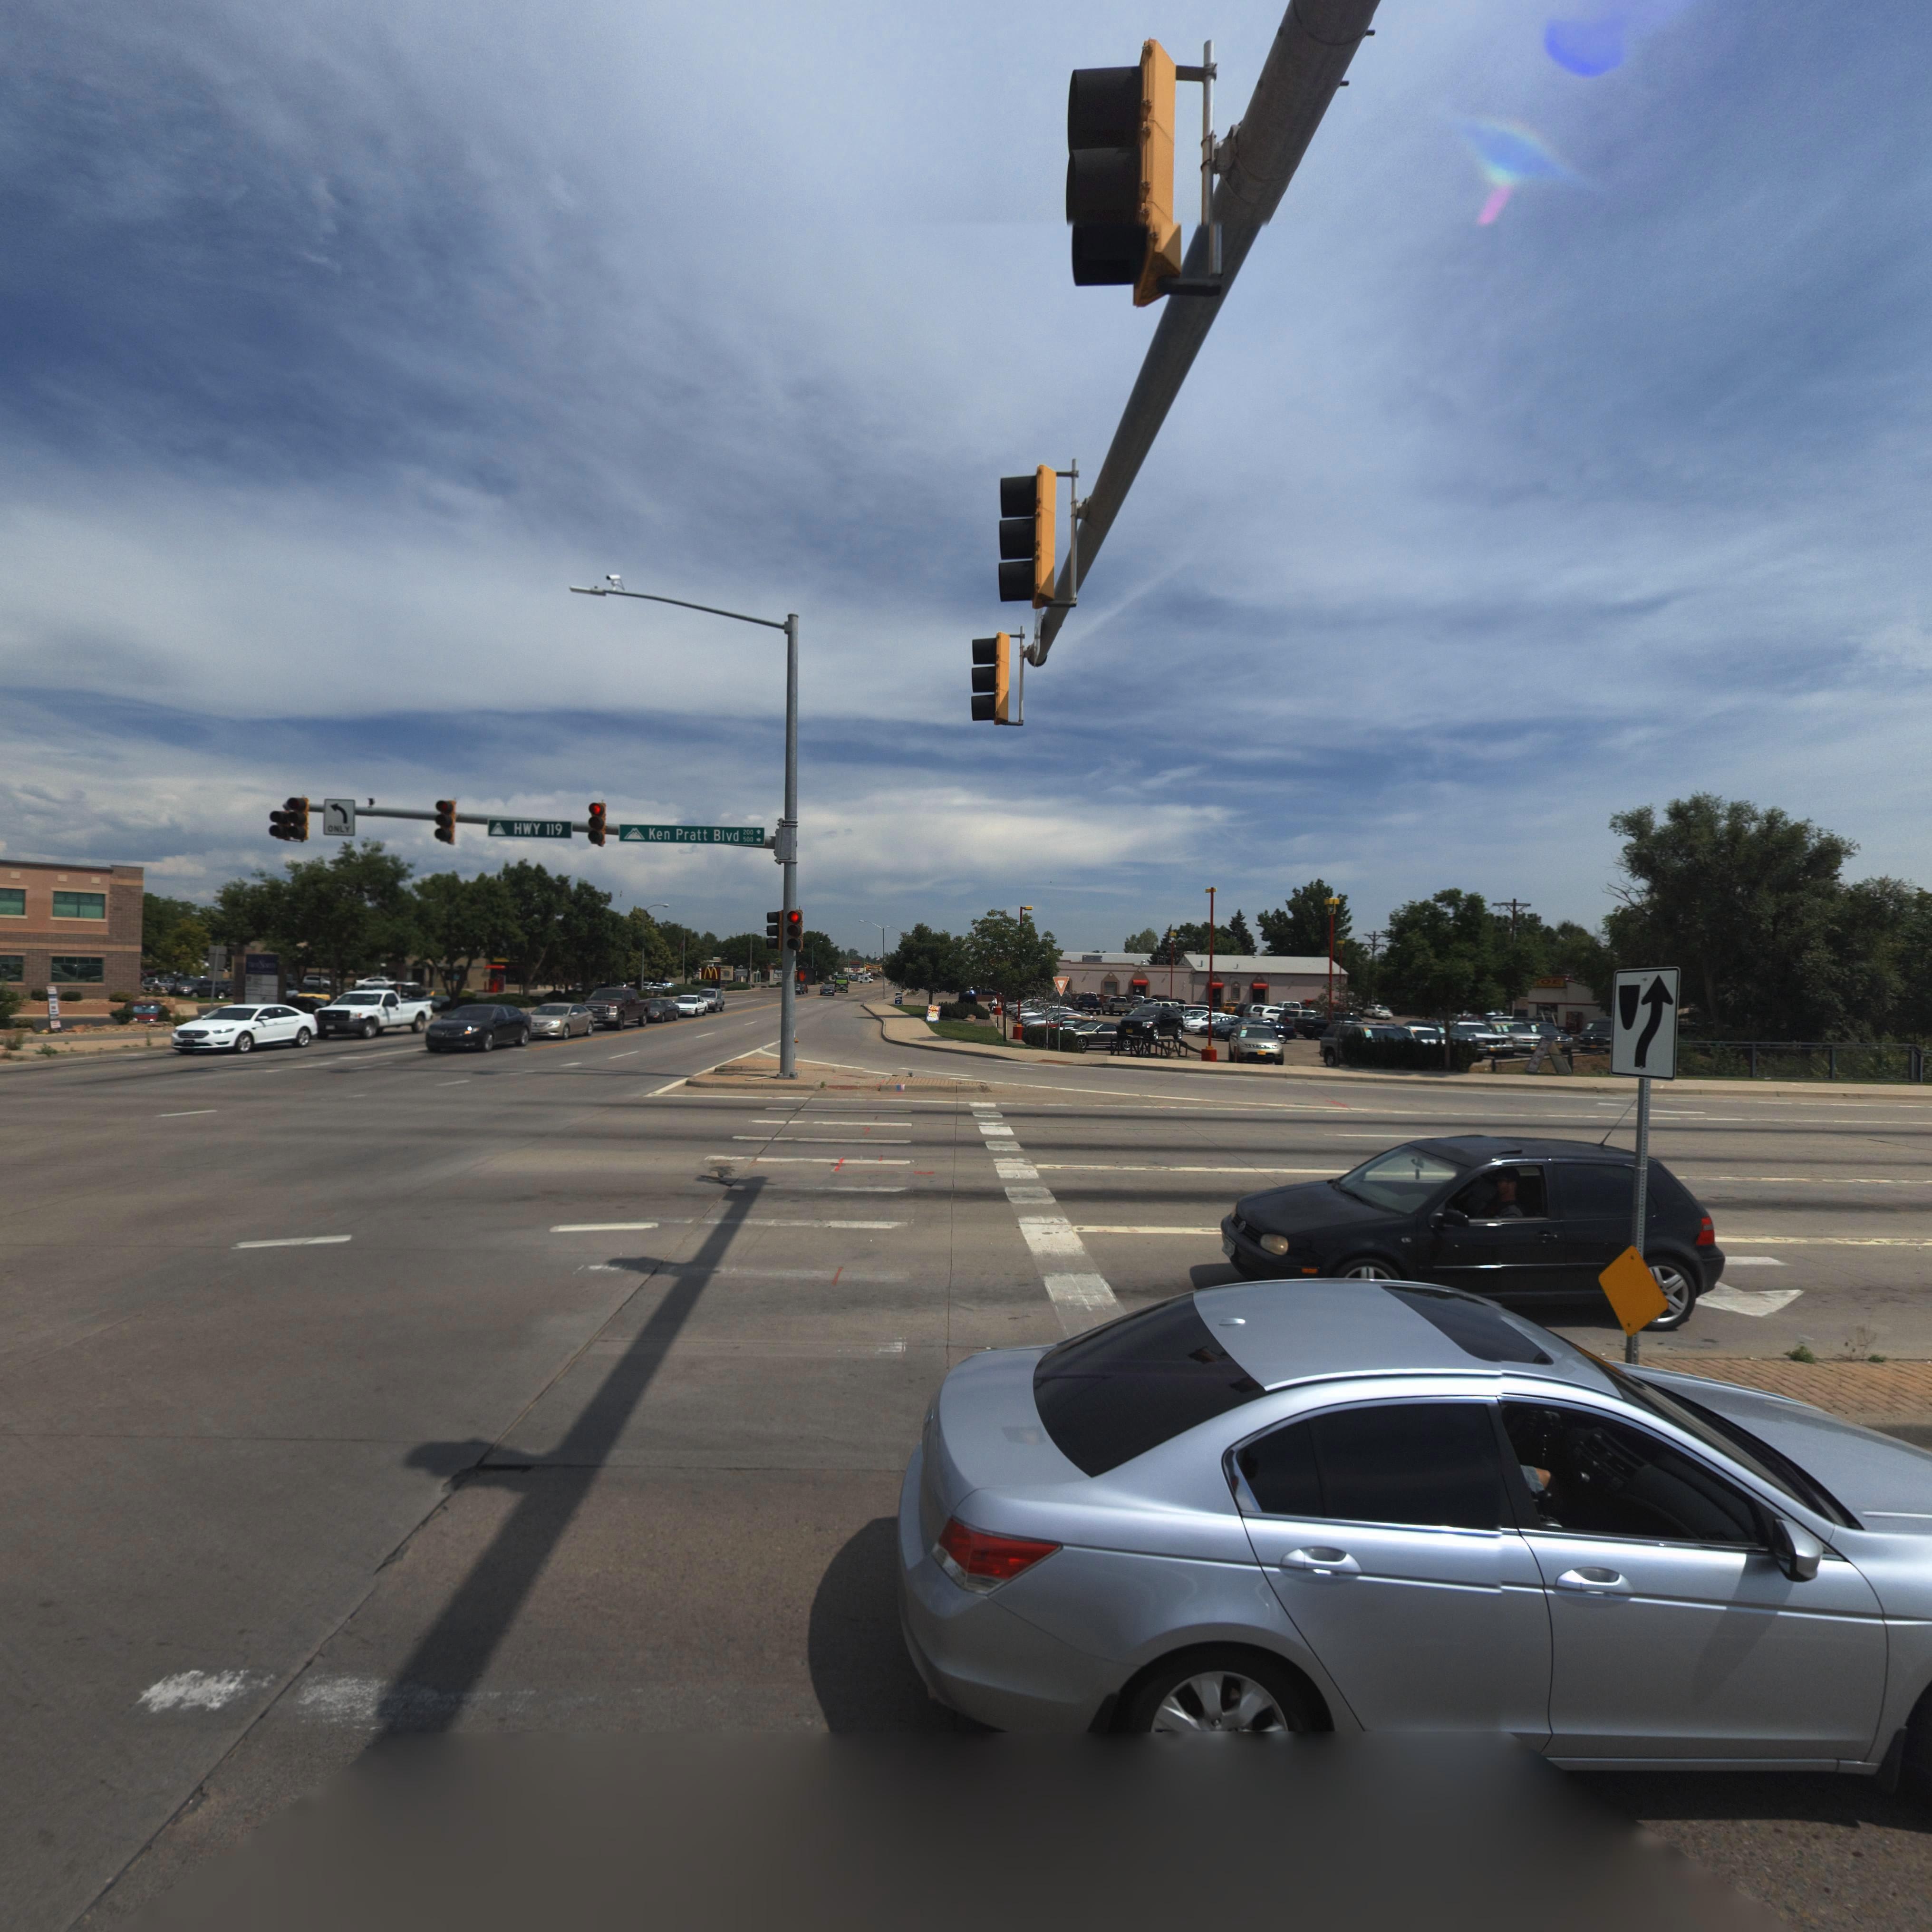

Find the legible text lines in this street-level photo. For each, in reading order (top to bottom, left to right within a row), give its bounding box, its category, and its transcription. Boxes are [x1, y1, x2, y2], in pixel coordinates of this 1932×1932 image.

[513, 821, 563, 836] StreetName: HWY 119
[648, 828, 739, 841] StreetName: Ken Pratt Blvd
[743, 829, 753, 835] StreetNumberRange: 200
[743, 836, 762, 842] StreetNumberRange: 500->
[246, 959, 277, 969] BusinessName: **** N****